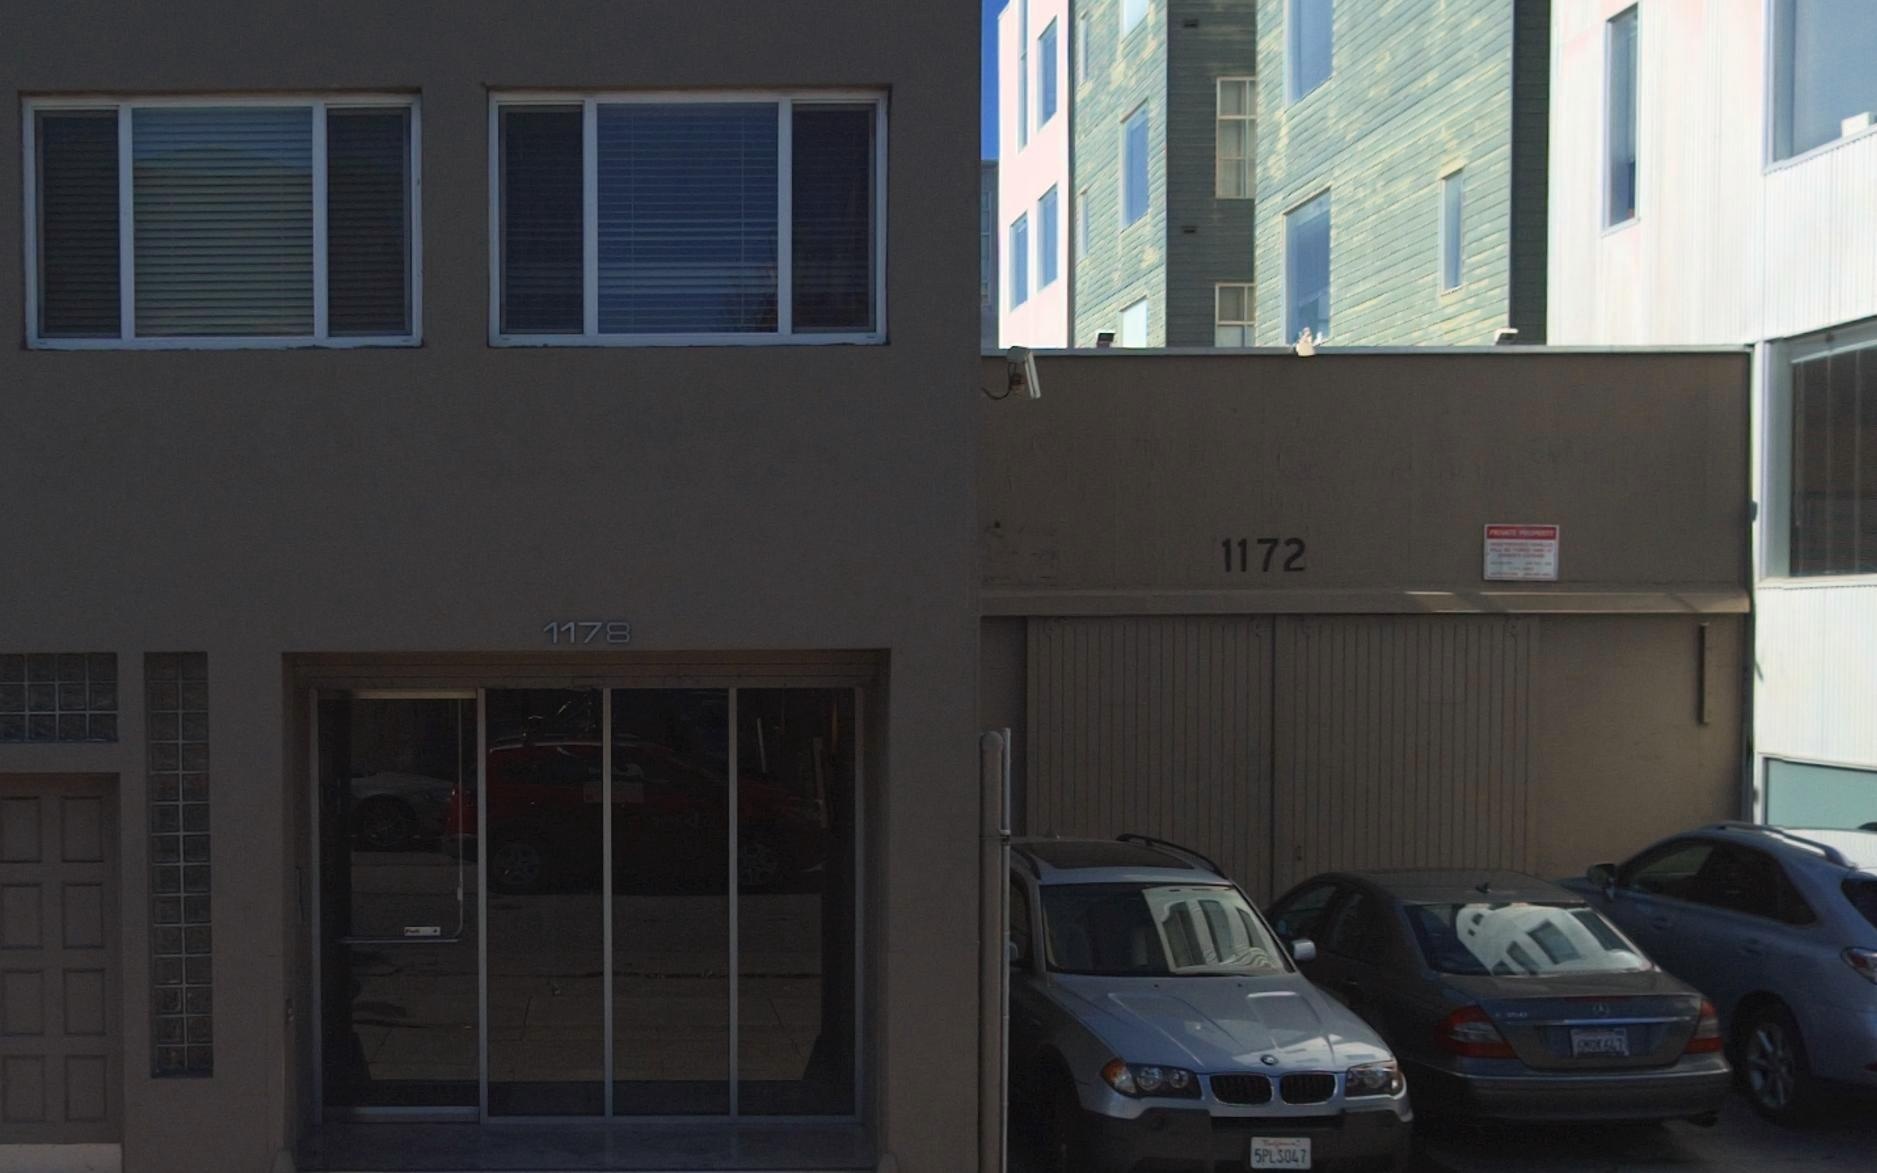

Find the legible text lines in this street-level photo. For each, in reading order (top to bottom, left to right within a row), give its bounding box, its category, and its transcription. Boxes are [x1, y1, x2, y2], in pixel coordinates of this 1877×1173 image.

[1220, 535, 1308, 574] StreetNumber: 1172
[542, 620, 633, 645] StreetNumber: 1178
[1602, 1036, 1623, 1053] None: 647
[1253, 1144, 1307, 1166] None: 5PLS047